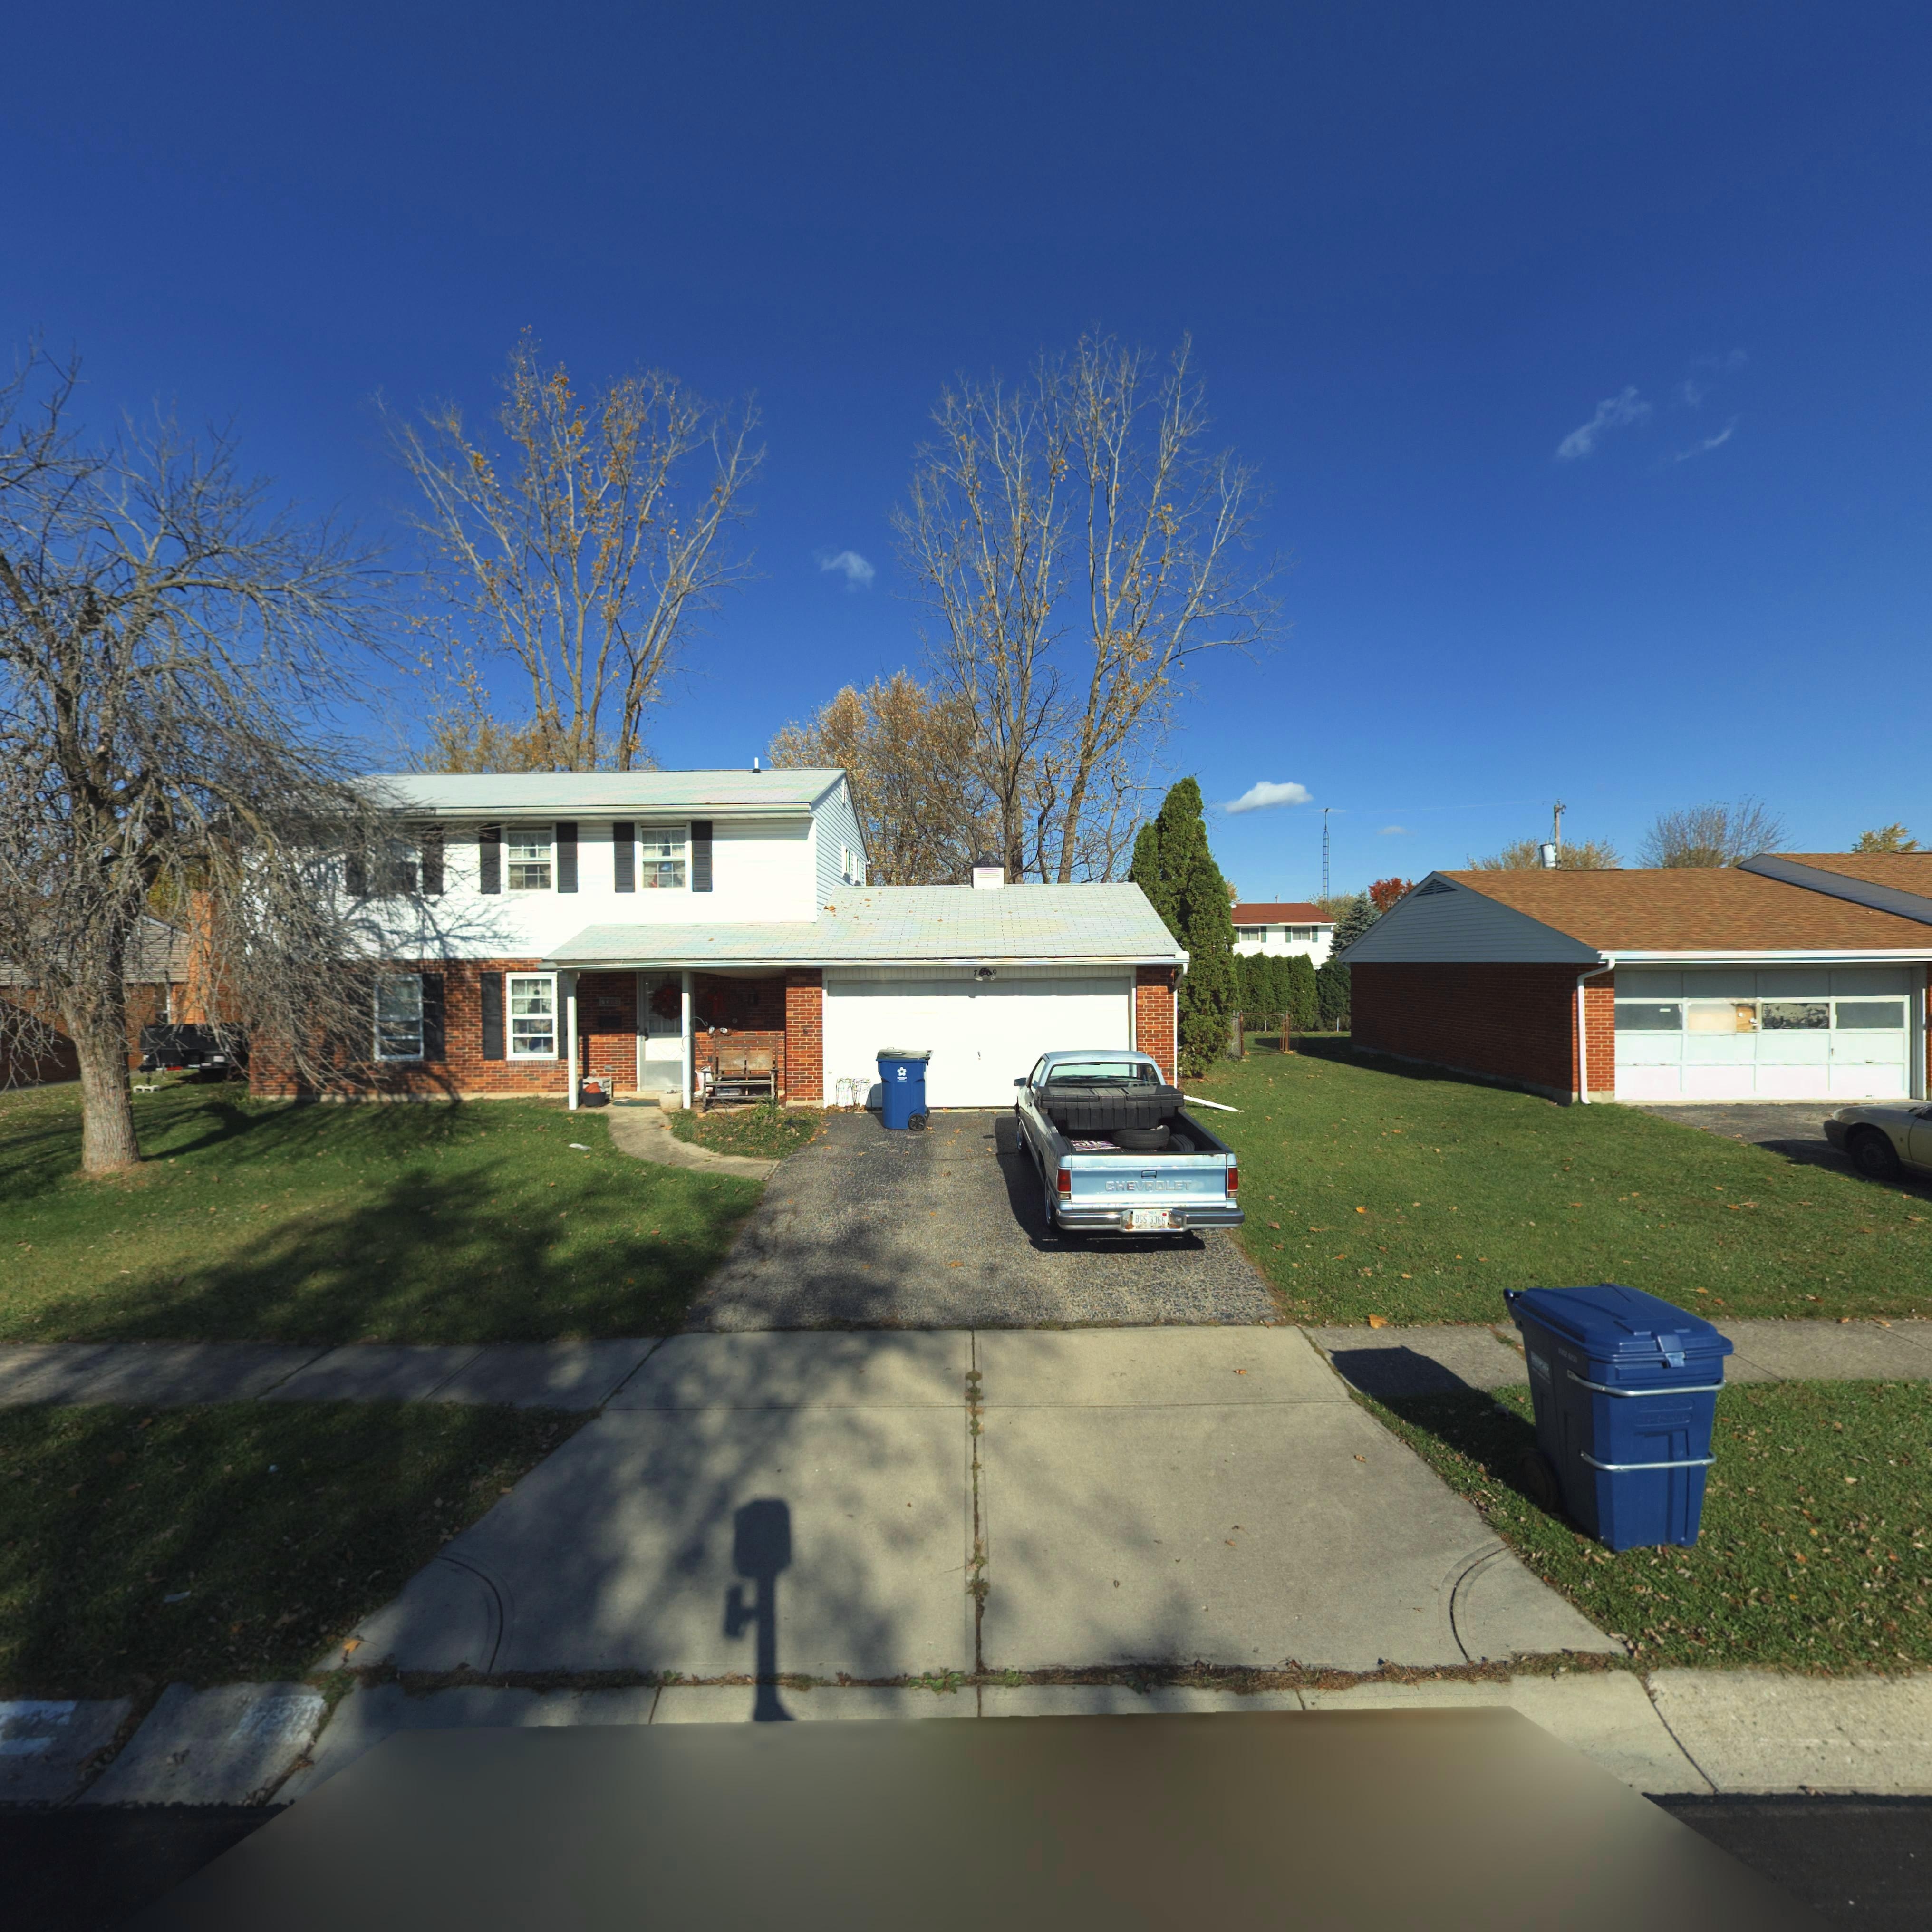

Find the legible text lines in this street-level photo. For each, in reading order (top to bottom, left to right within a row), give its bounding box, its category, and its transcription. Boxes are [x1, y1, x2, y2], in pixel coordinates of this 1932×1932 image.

[239, 1703, 322, 1740] StreetNumber: 720